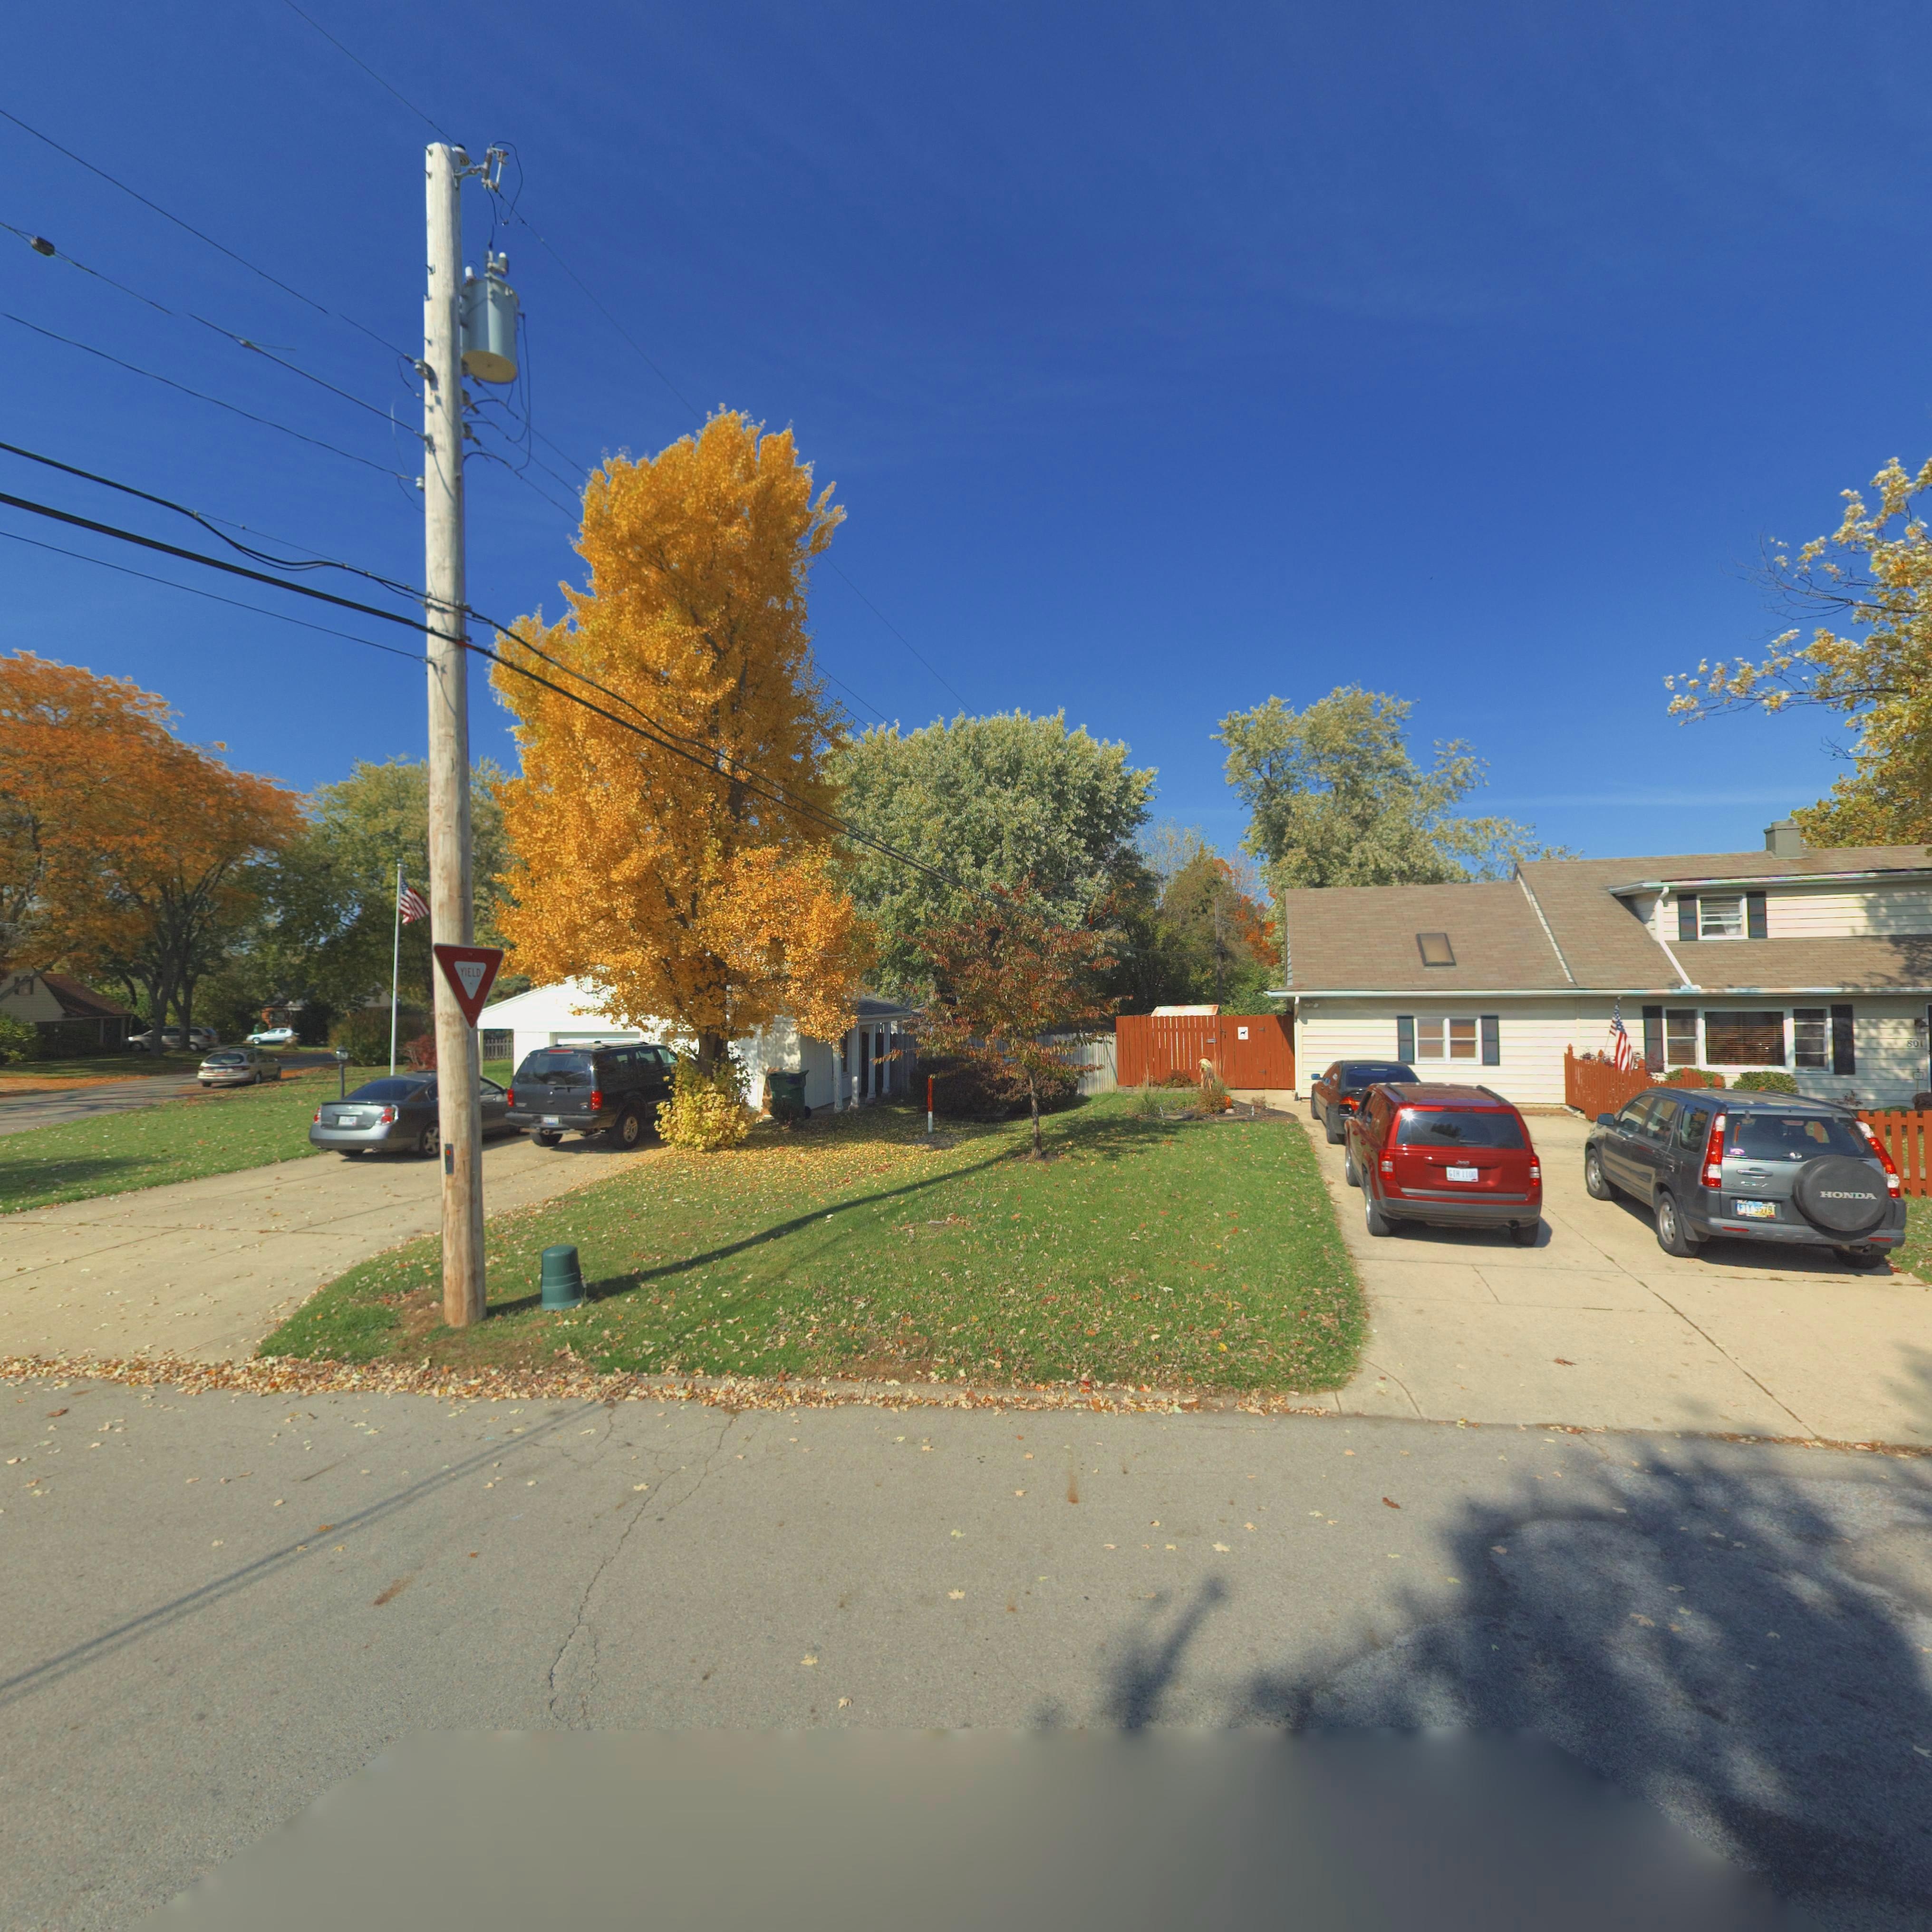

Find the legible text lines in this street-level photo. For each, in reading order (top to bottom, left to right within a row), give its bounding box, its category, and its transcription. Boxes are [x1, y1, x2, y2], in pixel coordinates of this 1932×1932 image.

[458, 965, 483, 979] None: YIELD
[1905, 1039, 1924, 1048] StreetNumber: 801
[1448, 1168, 1478, 1179] None: GIH 1100
[1818, 1189, 1878, 1201] None: HONDA
[1738, 1202, 1774, 1215] None: FIY 9579